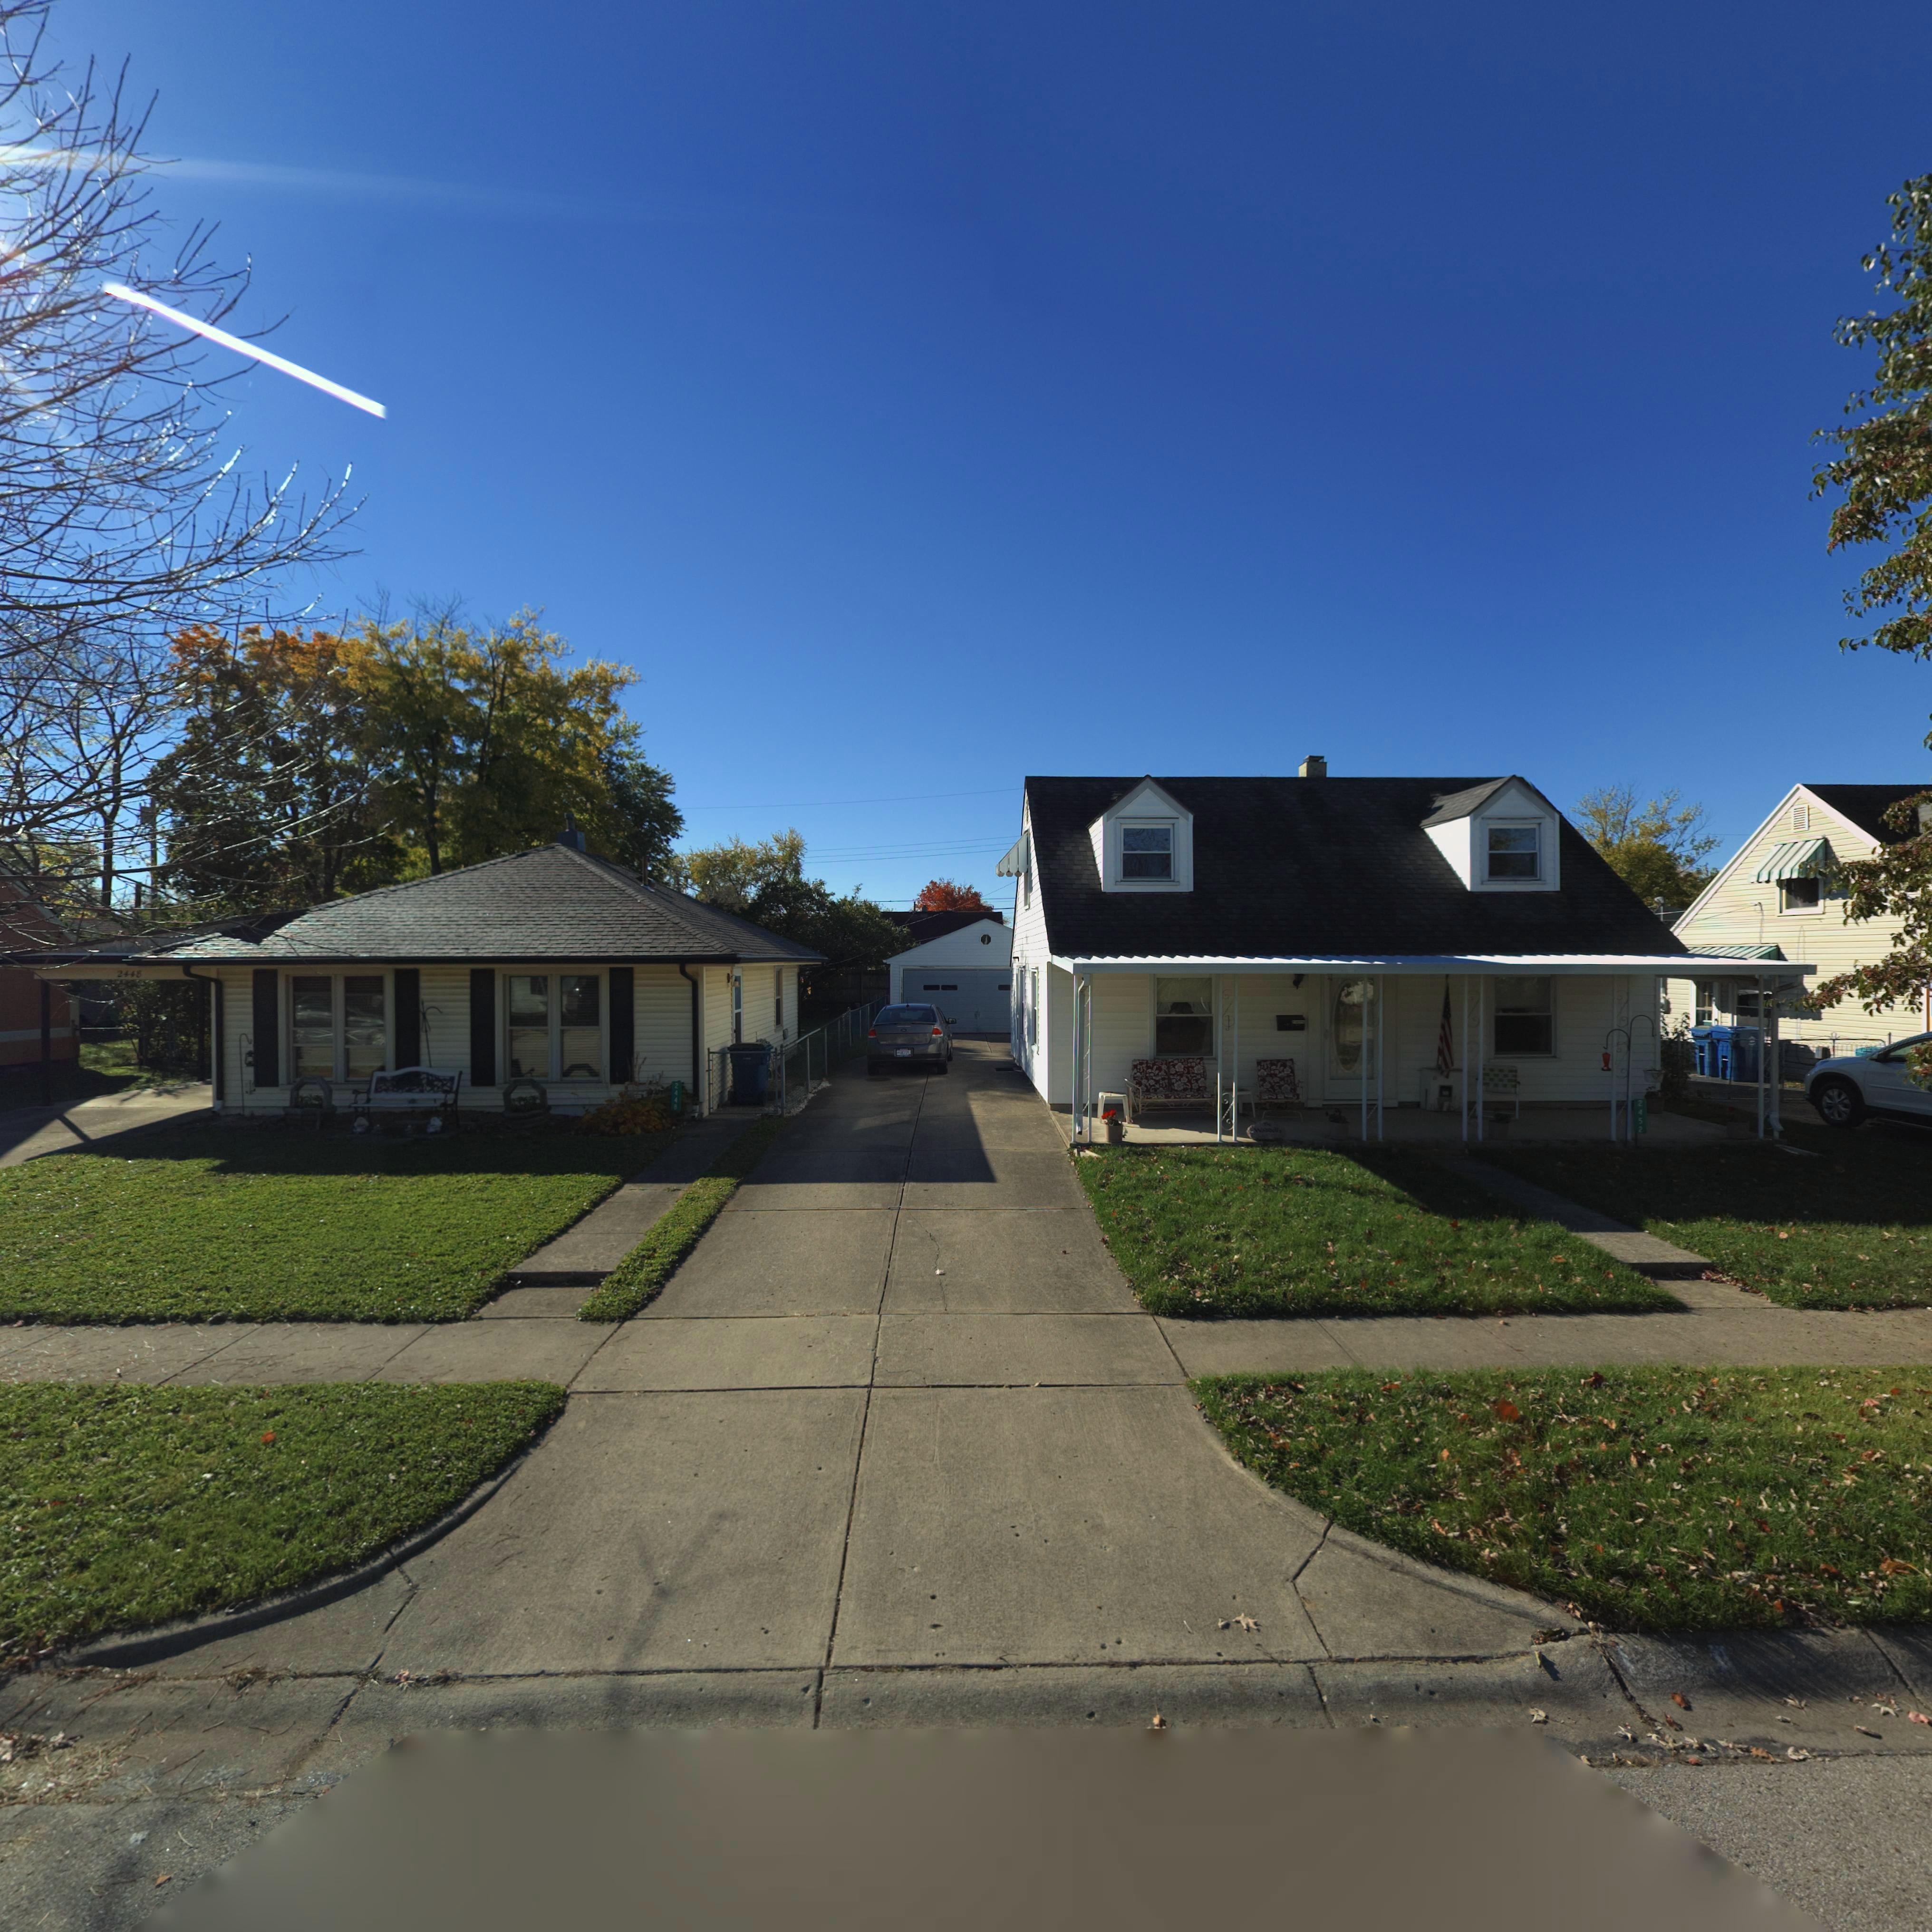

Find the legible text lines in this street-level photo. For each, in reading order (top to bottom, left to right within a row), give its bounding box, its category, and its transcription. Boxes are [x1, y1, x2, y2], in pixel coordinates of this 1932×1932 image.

[116, 969, 143, 979] StreetNumber: 2448
[673, 1082, 679, 1111] StreetNumber: 2448
[1636, 1099, 1644, 1134] StreetNumber: 2452